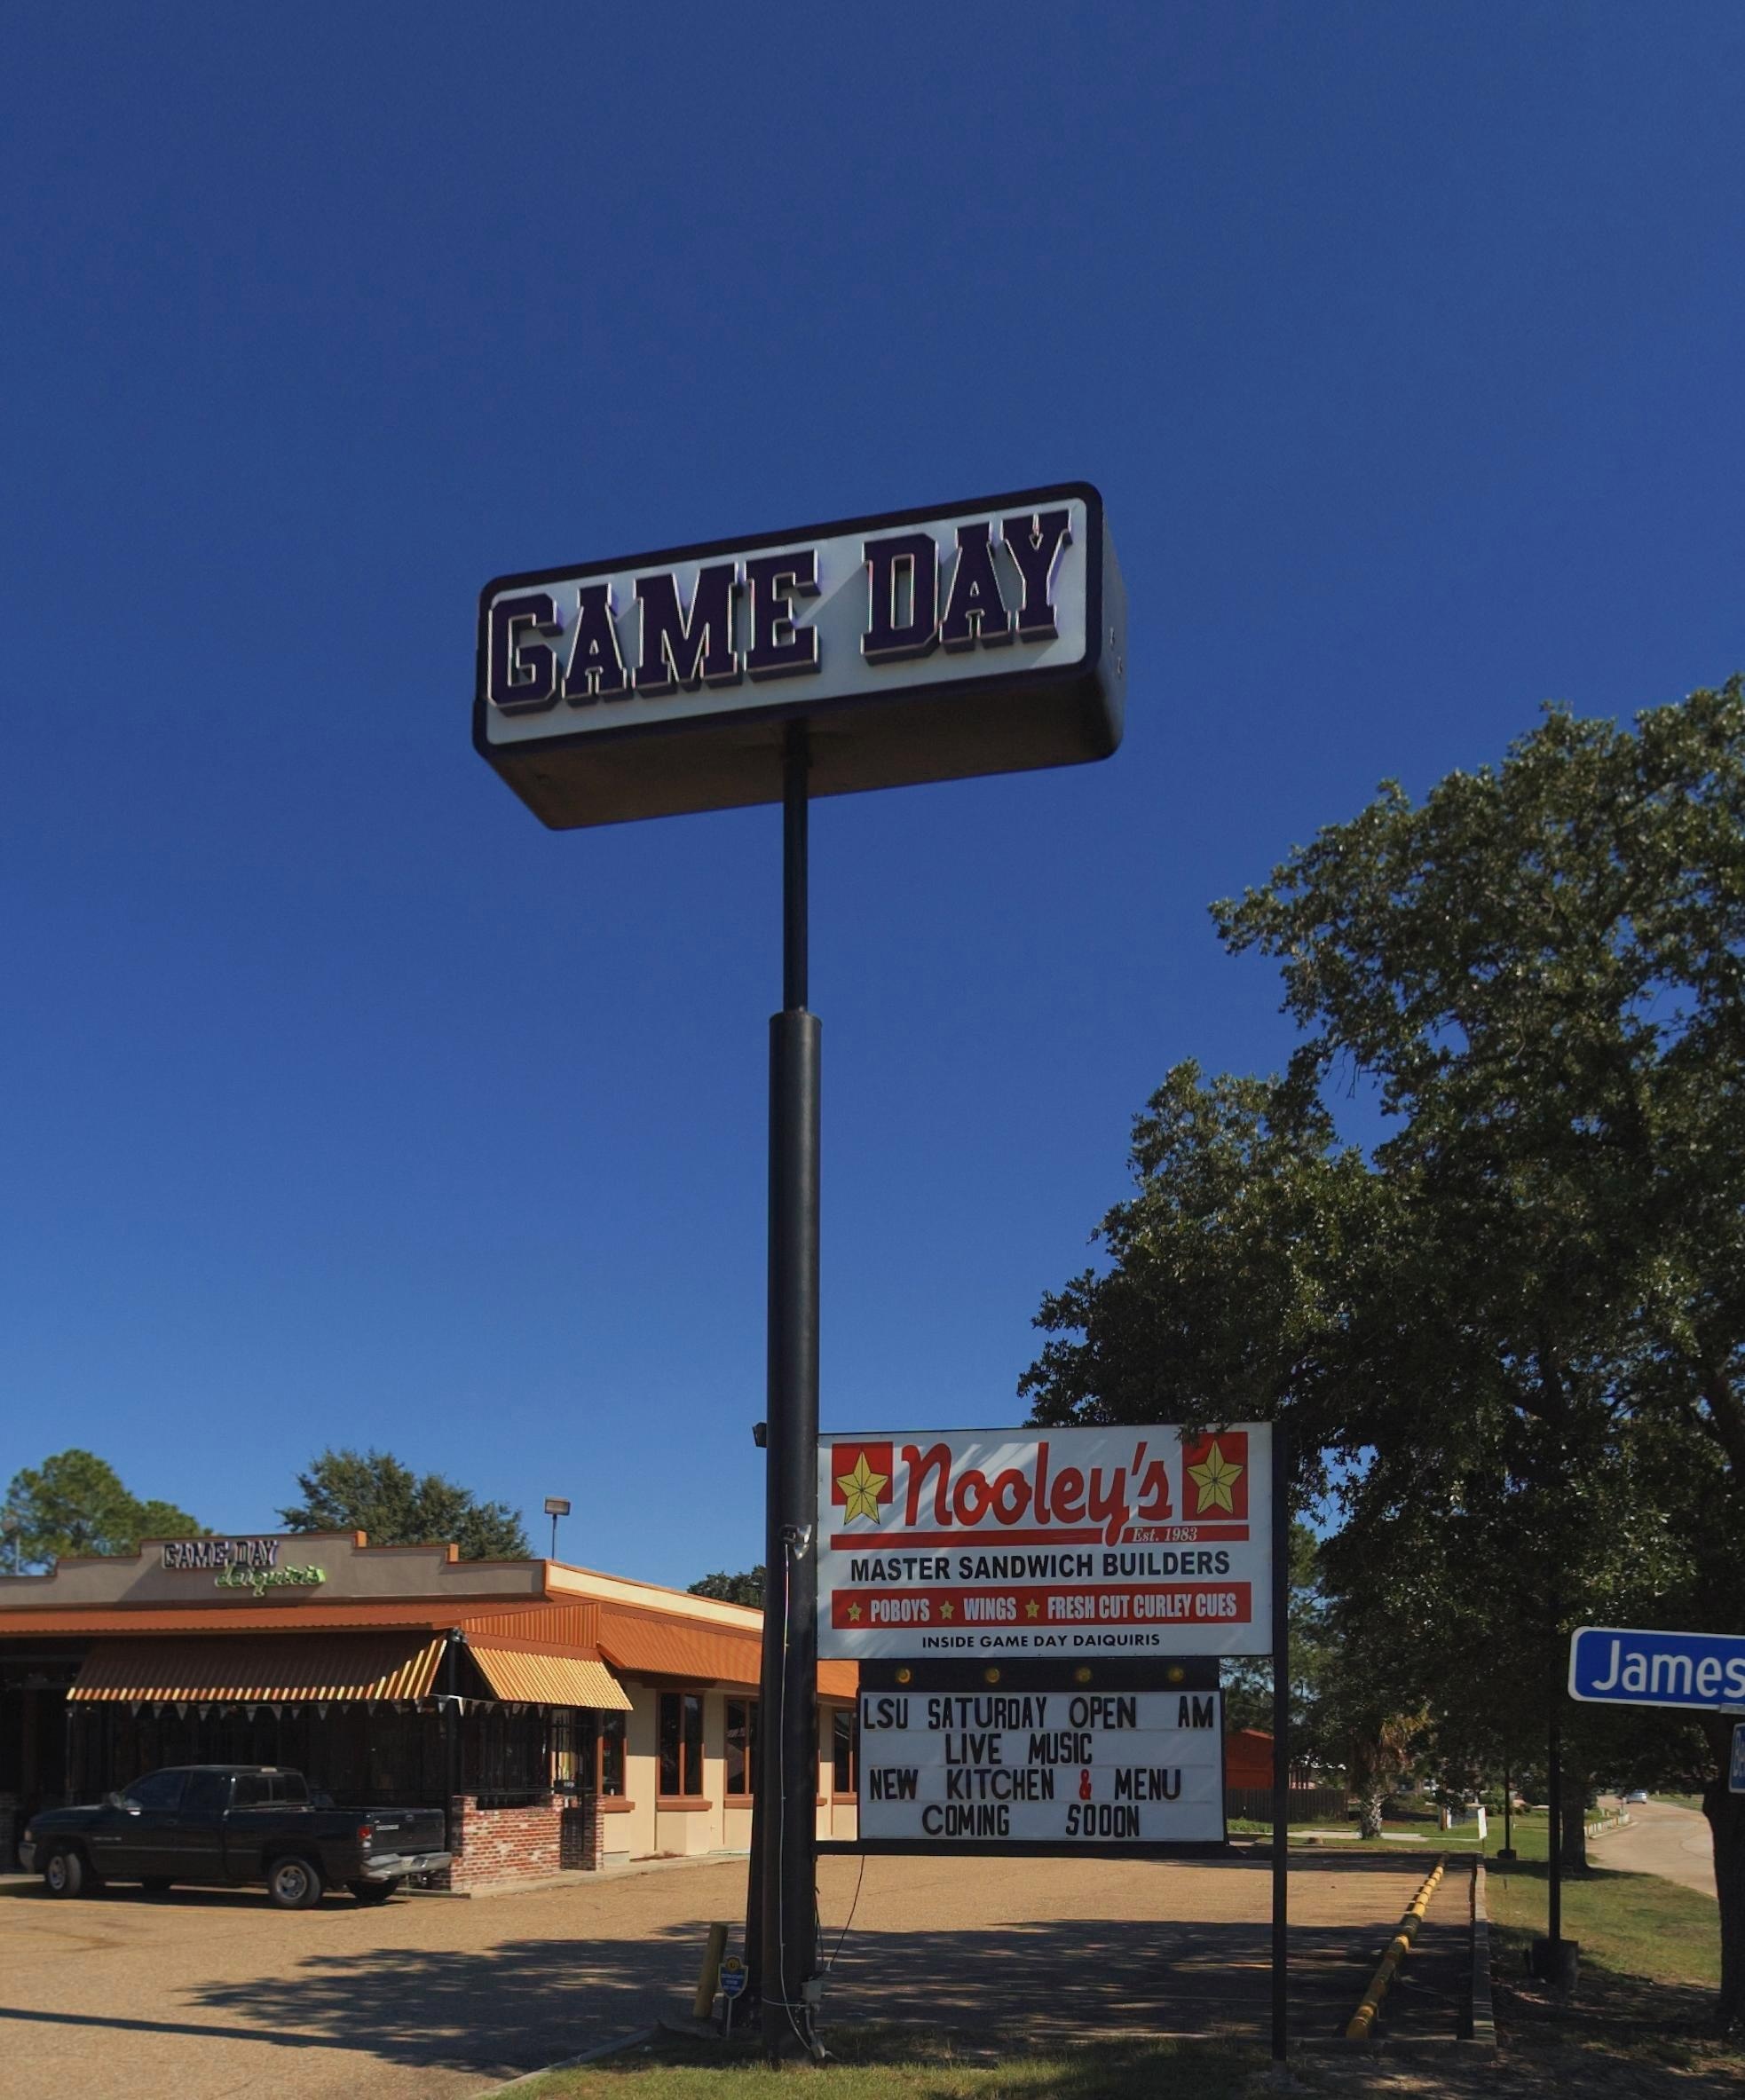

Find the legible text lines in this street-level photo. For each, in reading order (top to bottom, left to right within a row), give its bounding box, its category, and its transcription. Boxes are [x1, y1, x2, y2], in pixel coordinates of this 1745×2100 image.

[480, 500, 1075, 722] BusinessName: GAME DAY
[900, 1440, 1174, 1548] BusinessName: Nooley's
[1130, 1526, 1199, 1543] None: Est. 1983
[161, 1538, 276, 1570] BusinessName: GAME DAY
[212, 1560, 328, 1599] None: daiquiris
[849, 1550, 1231, 1583] None: MASTER SANDWICH BUILDERS
[870, 1591, 1238, 1622] None: POBOYS * WINGS * FRESH CUY CURLEY CUES
[921, 1633, 1161, 1650] None: INSIDE GAME DAY DAIQUIRIS
[1585, 1637, 1745, 1702] StreetName: James
[862, 1694, 1215, 1731] None: LSU SATURDAY OPEN AM
[944, 1733, 1094, 1766] None: LIVE MUSIC
[869, 1767, 1182, 1801] None: NEW KITCHEN & MENU
[921, 1804, 1141, 1838] None: COMING SOOON